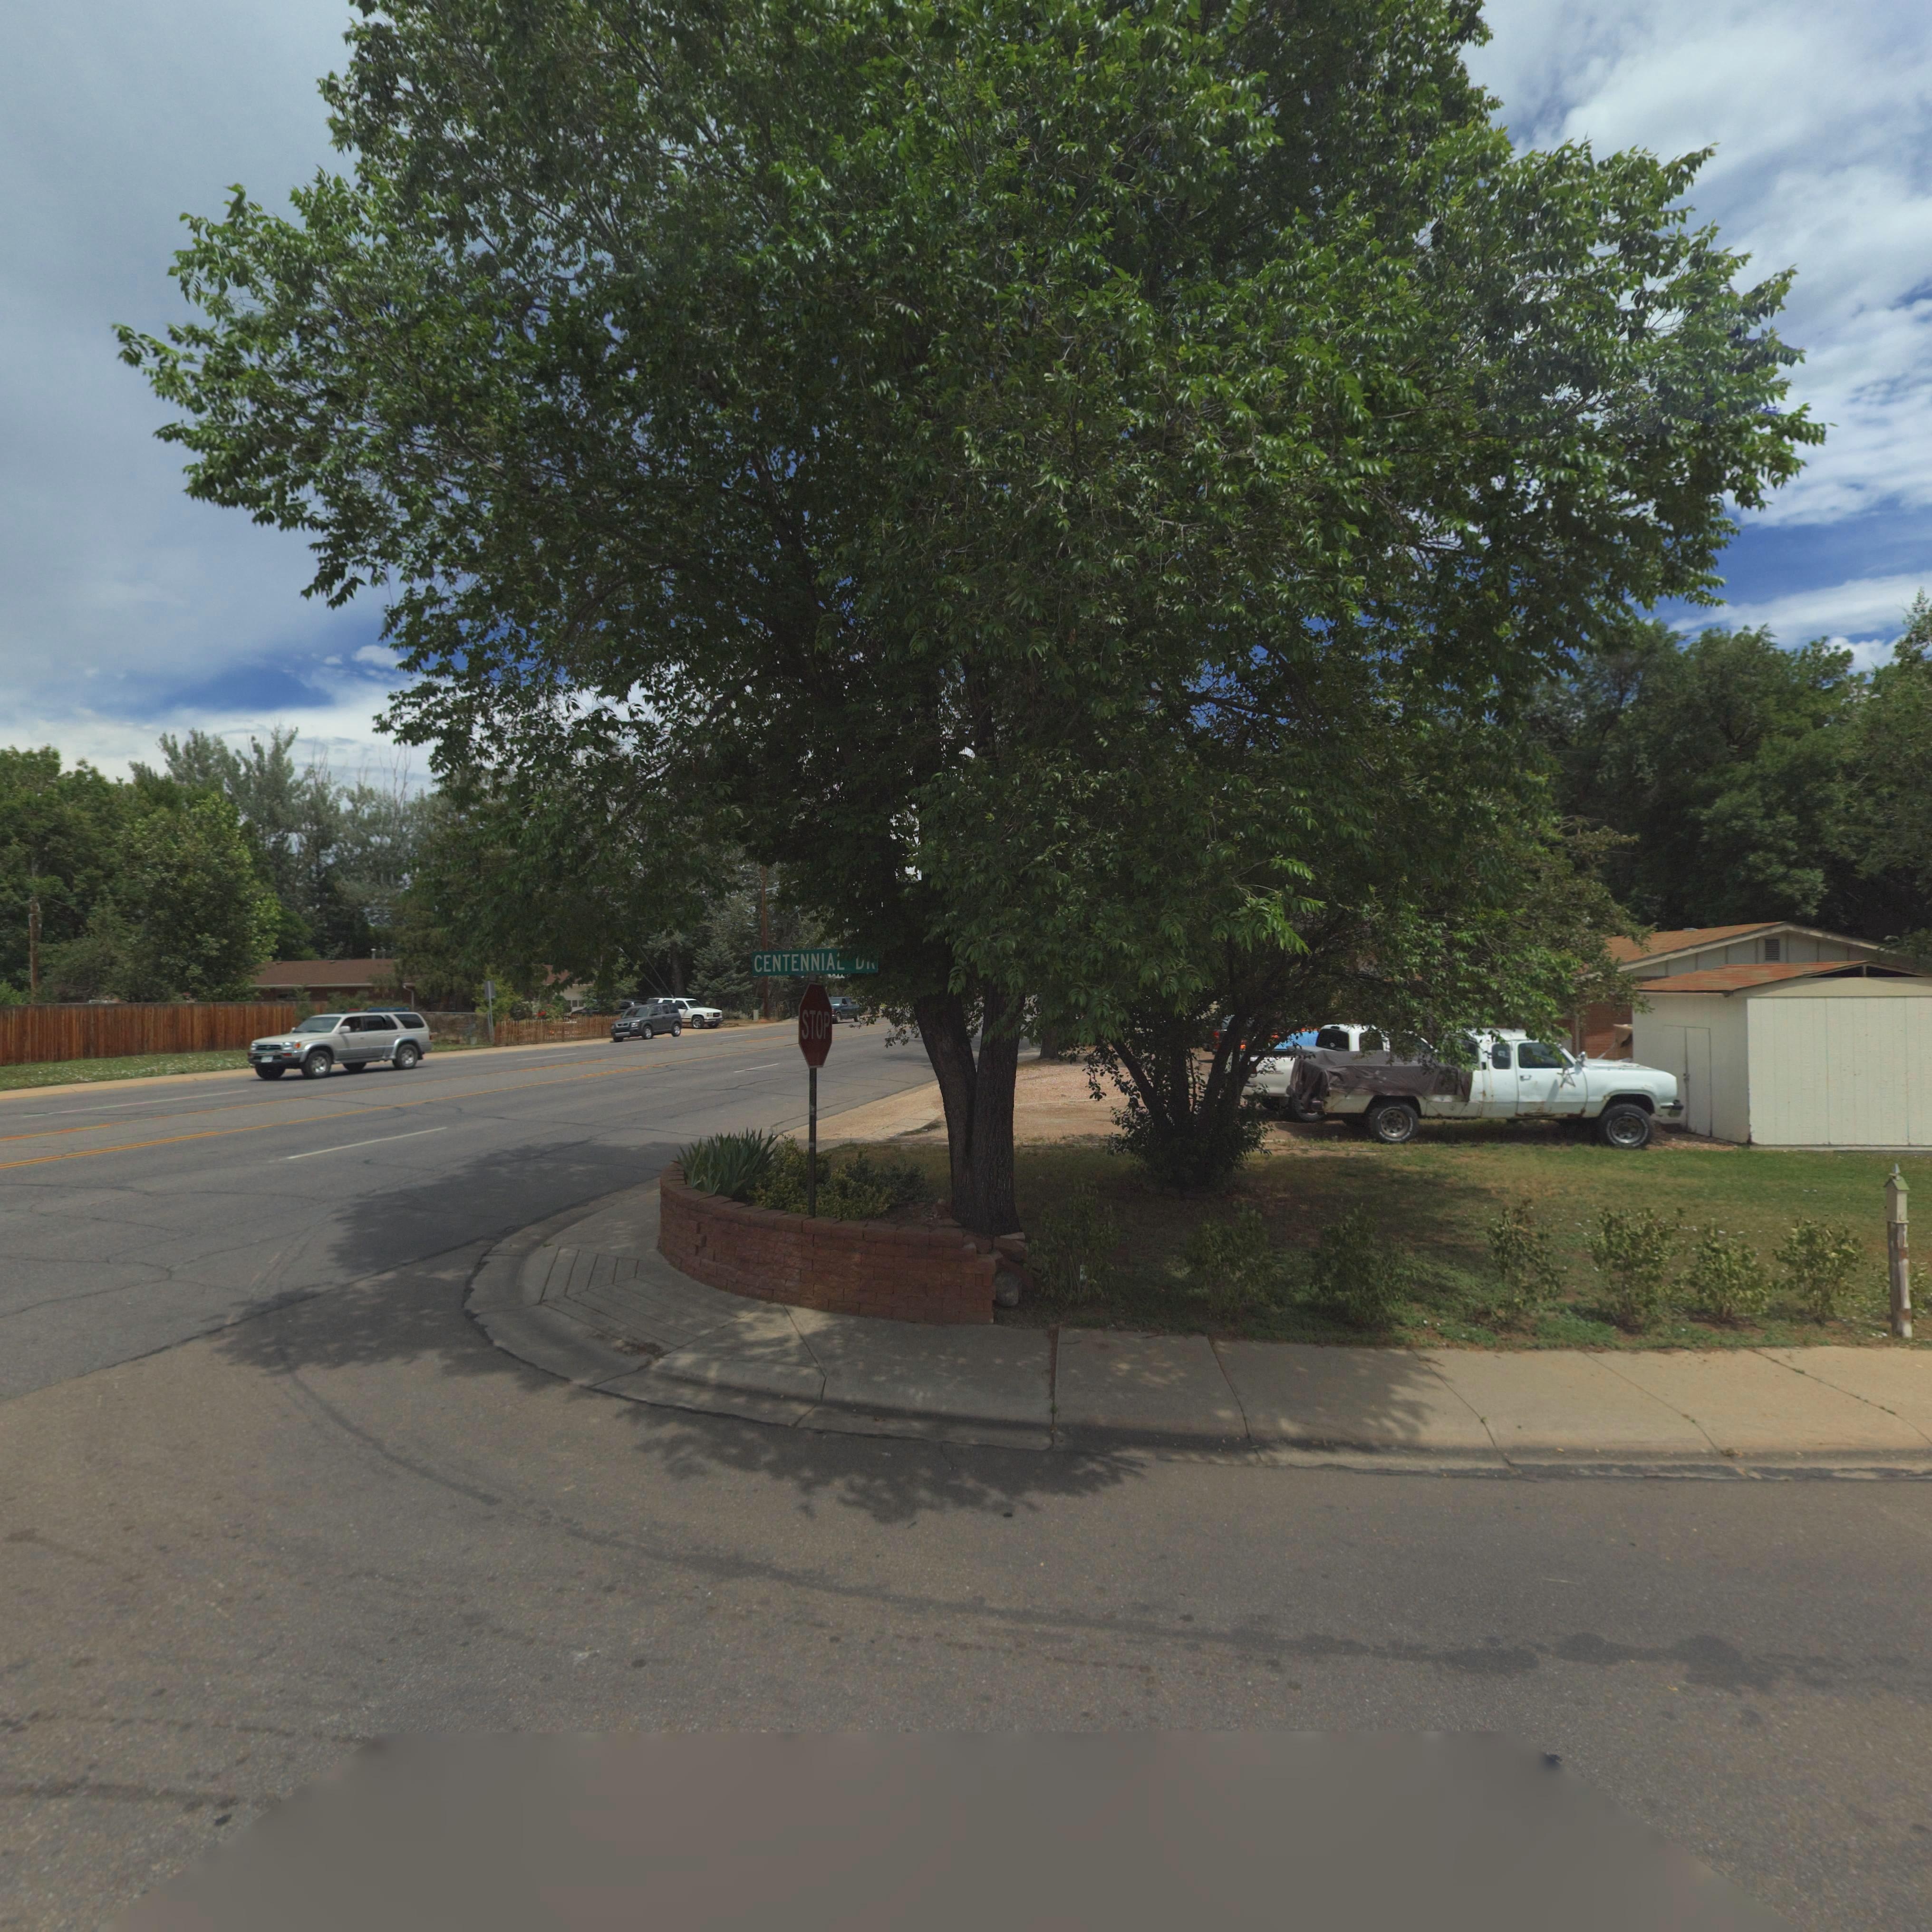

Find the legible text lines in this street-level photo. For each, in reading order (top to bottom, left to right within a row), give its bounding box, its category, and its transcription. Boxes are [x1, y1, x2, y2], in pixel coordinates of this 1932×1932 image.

[753, 952, 845, 973] StreetName: CENTENNIAL